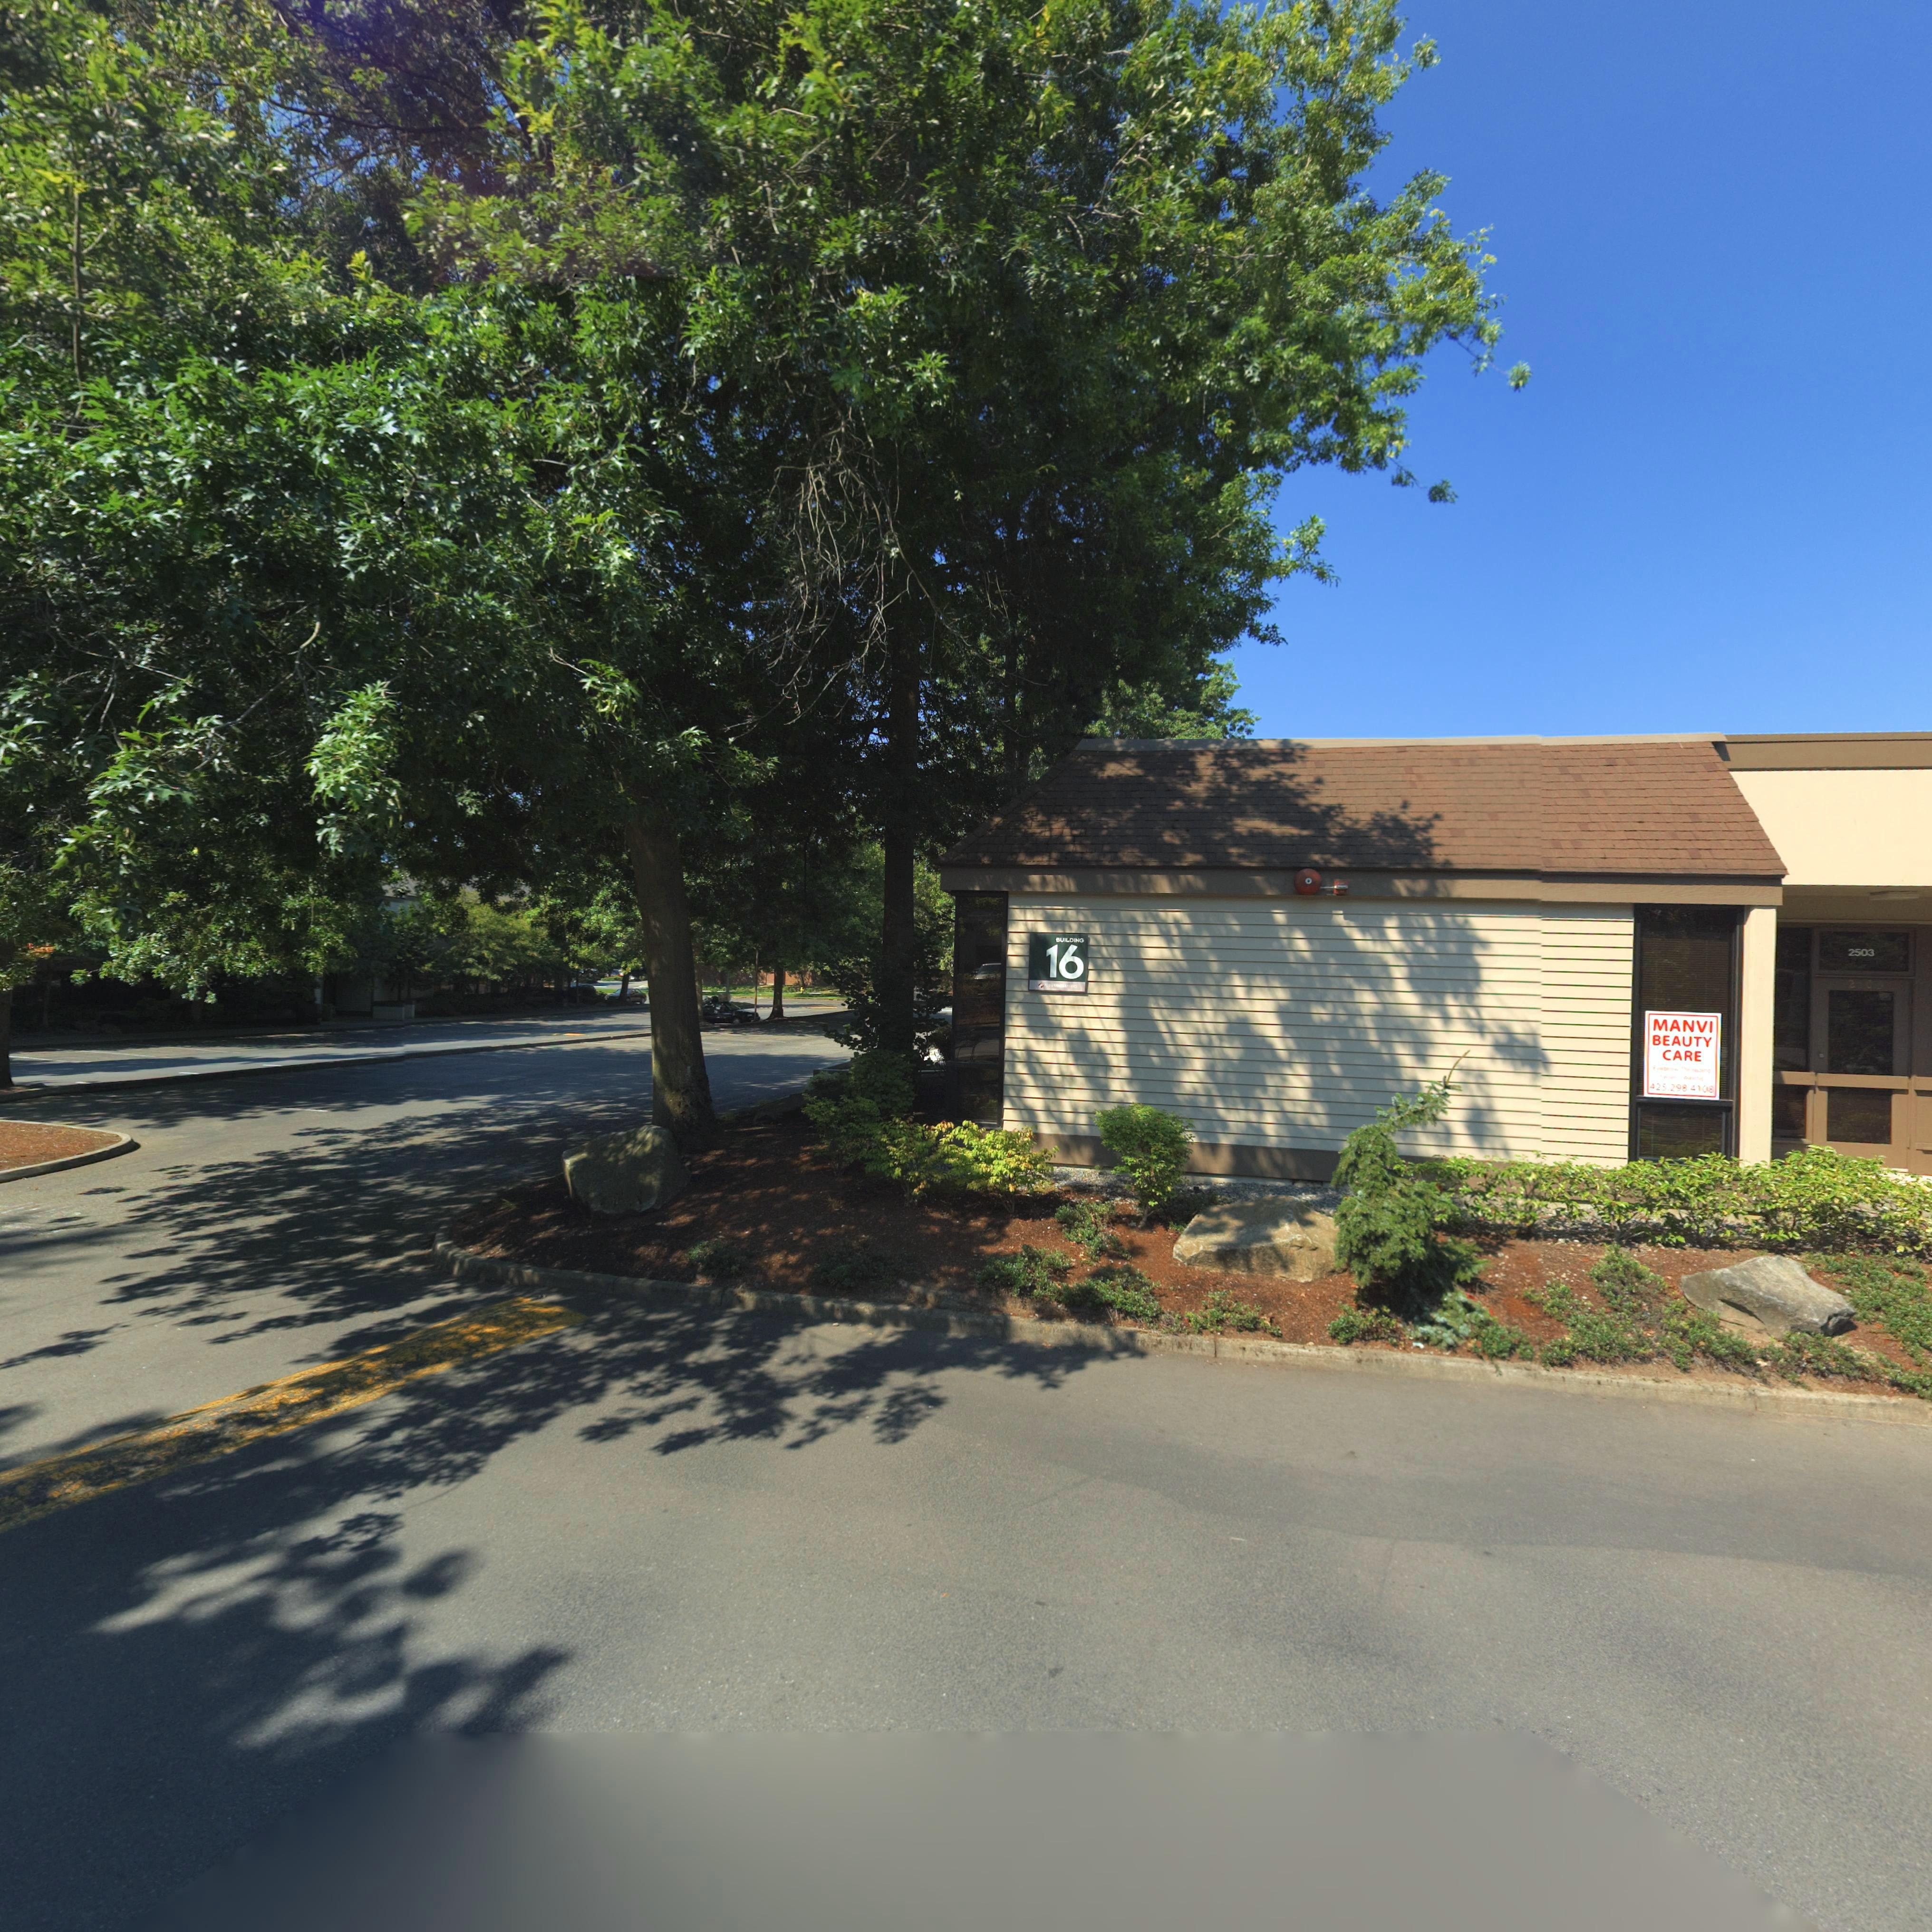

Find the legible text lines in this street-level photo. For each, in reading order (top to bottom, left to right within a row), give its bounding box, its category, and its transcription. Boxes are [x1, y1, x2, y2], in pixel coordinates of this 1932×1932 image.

[1055, 937, 1084, 943] SecondaryUnitDesignator: BUILDING
[1848, 948, 1875, 956] StreetNumber: 2503
[1046, 943, 1084, 980] SecondaryUnitDesignator: 16